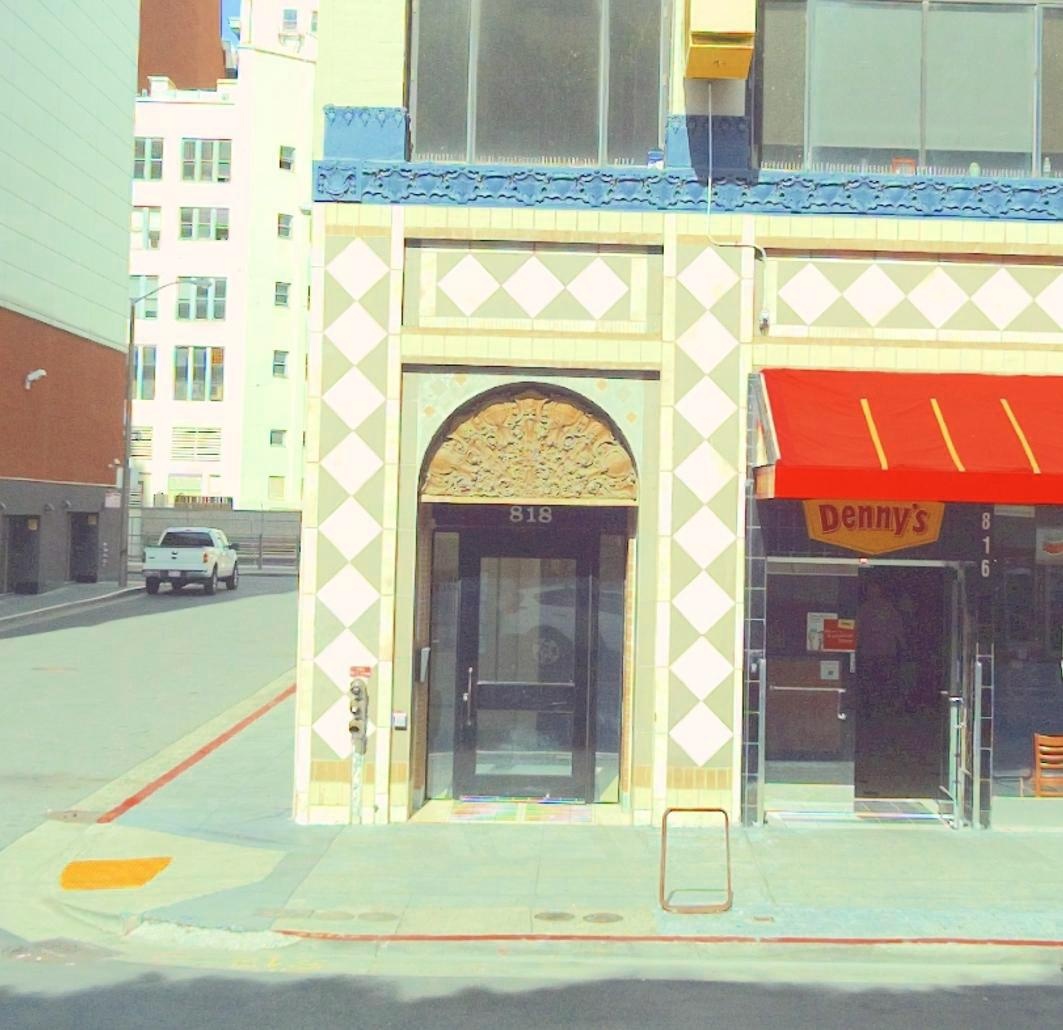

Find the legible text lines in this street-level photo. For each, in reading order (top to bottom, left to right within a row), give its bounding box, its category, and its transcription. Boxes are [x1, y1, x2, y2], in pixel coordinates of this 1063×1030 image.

[507, 503, 555, 527] StreetNumber: 818
[811, 499, 938, 541] BusinessName: Denny's
[978, 509, 995, 582] StreetNumber: 816